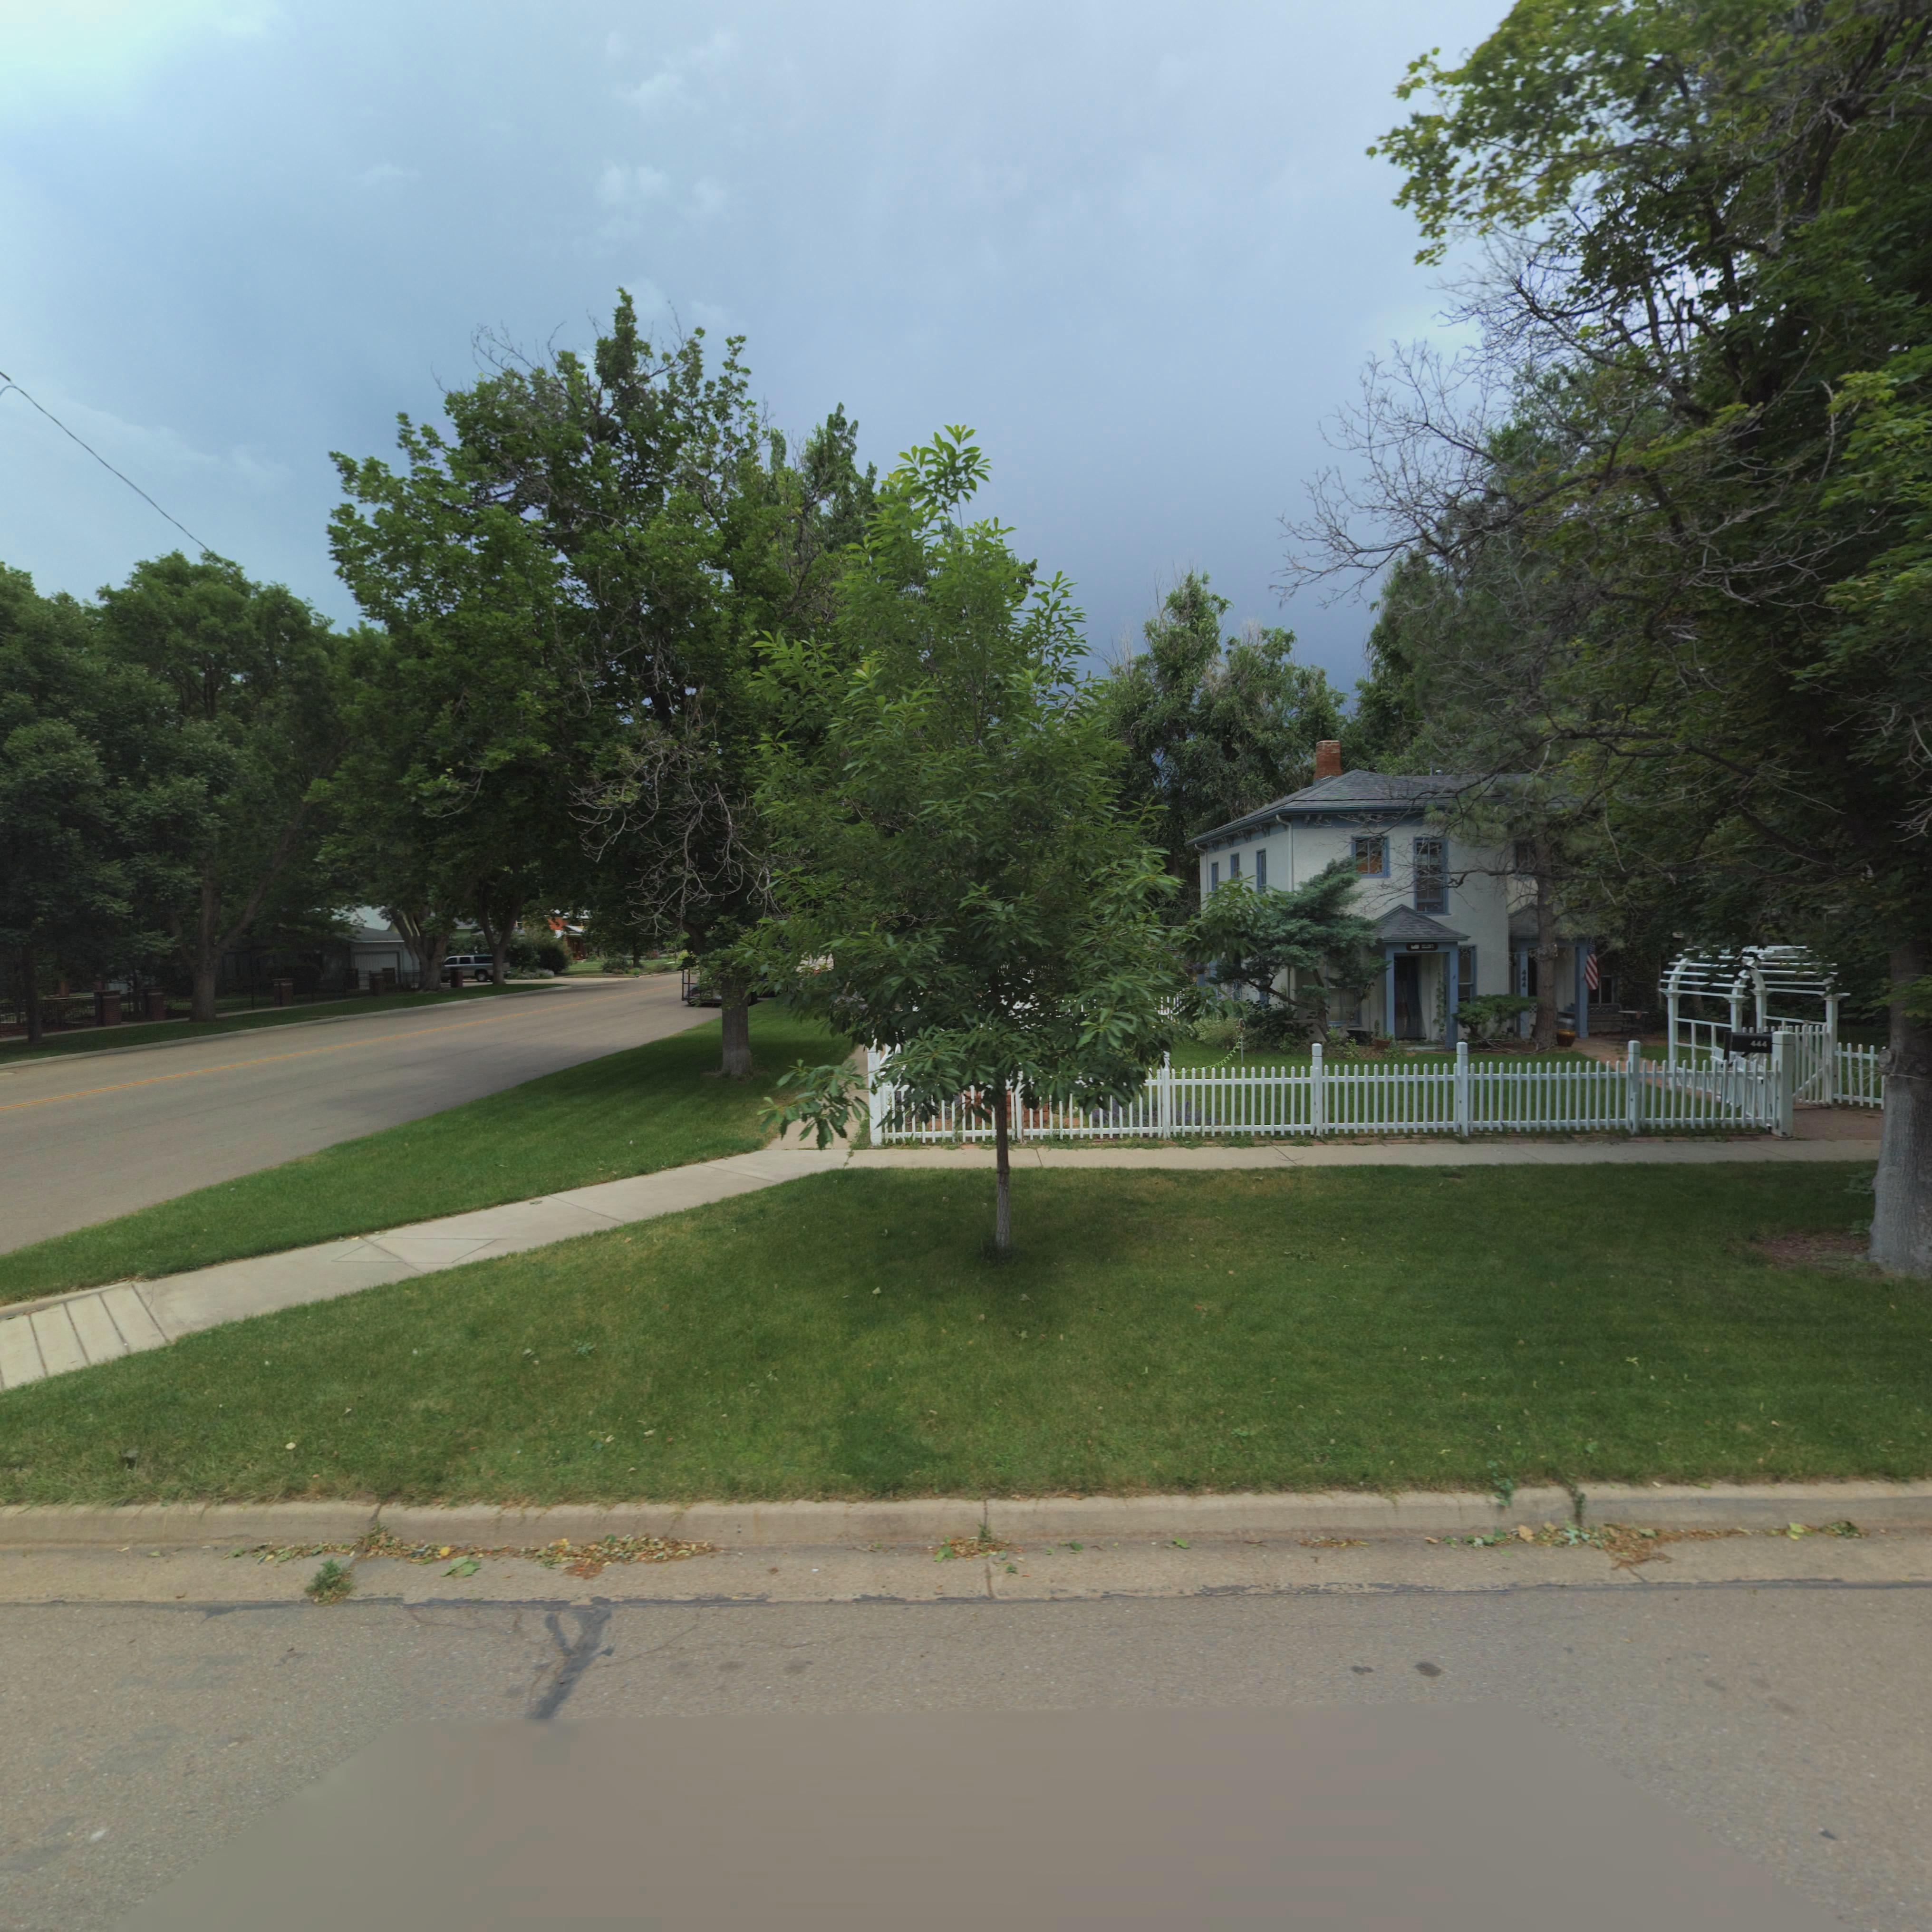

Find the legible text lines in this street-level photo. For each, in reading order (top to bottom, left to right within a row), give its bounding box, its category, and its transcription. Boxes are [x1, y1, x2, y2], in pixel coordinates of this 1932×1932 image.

[1521, 968, 1526, 988] StreetNumber: 444
[1749, 1040, 1768, 1047] StreetNumber: 444